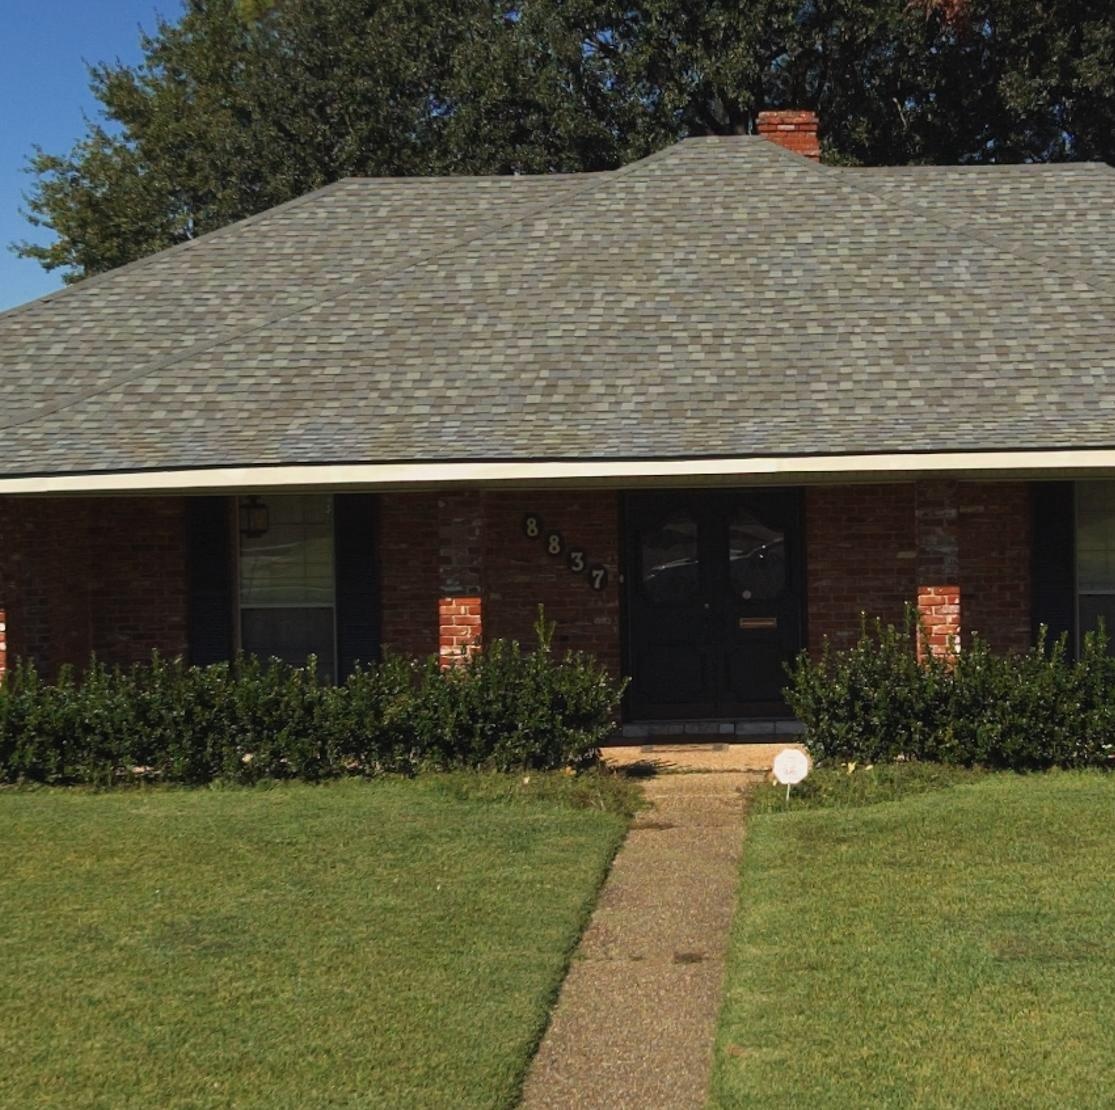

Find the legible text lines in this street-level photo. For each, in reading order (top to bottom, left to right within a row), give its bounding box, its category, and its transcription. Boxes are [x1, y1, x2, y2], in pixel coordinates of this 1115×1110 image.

[525, 516, 606, 591] StreetNumber: 8837